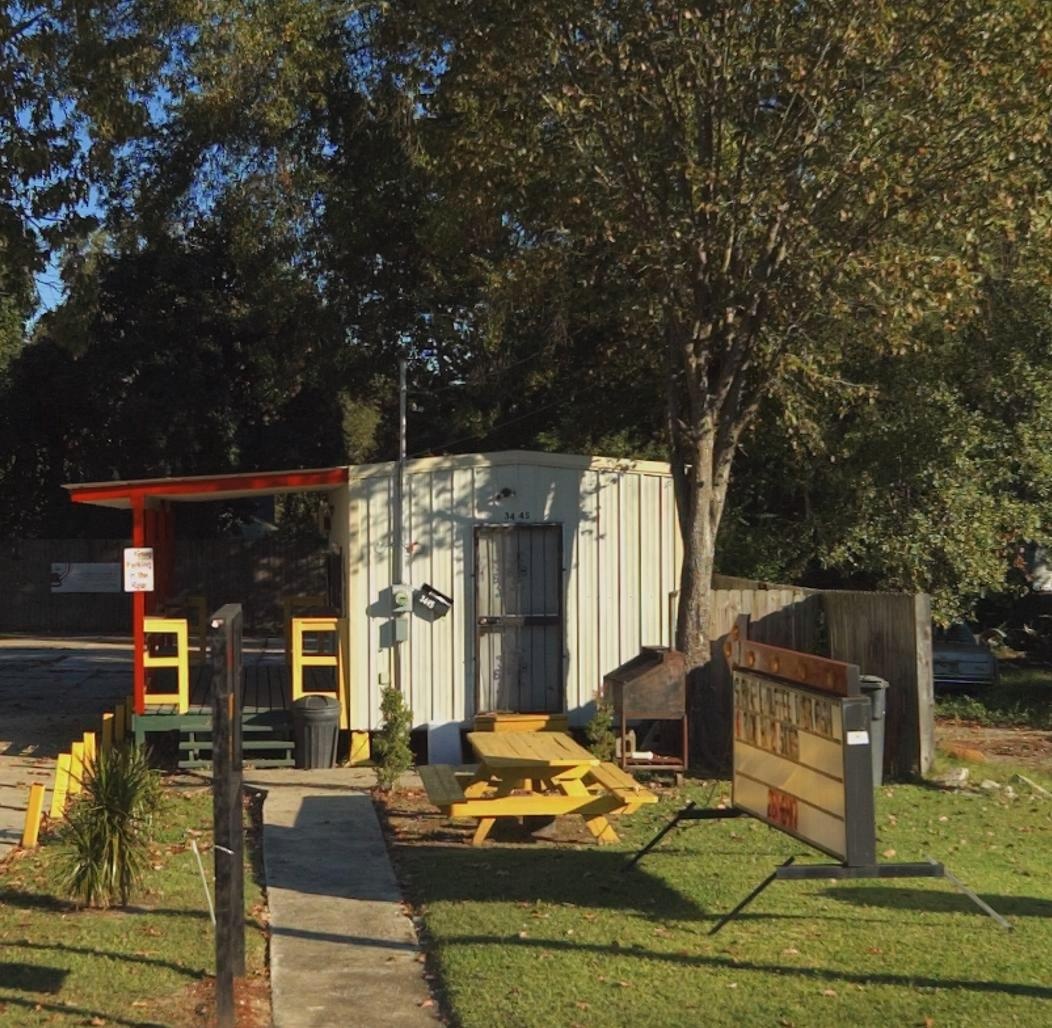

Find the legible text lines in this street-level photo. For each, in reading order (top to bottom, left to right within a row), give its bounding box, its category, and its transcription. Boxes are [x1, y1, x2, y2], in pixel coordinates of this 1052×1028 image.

[504, 511, 531, 521] StreetNumber: 3445